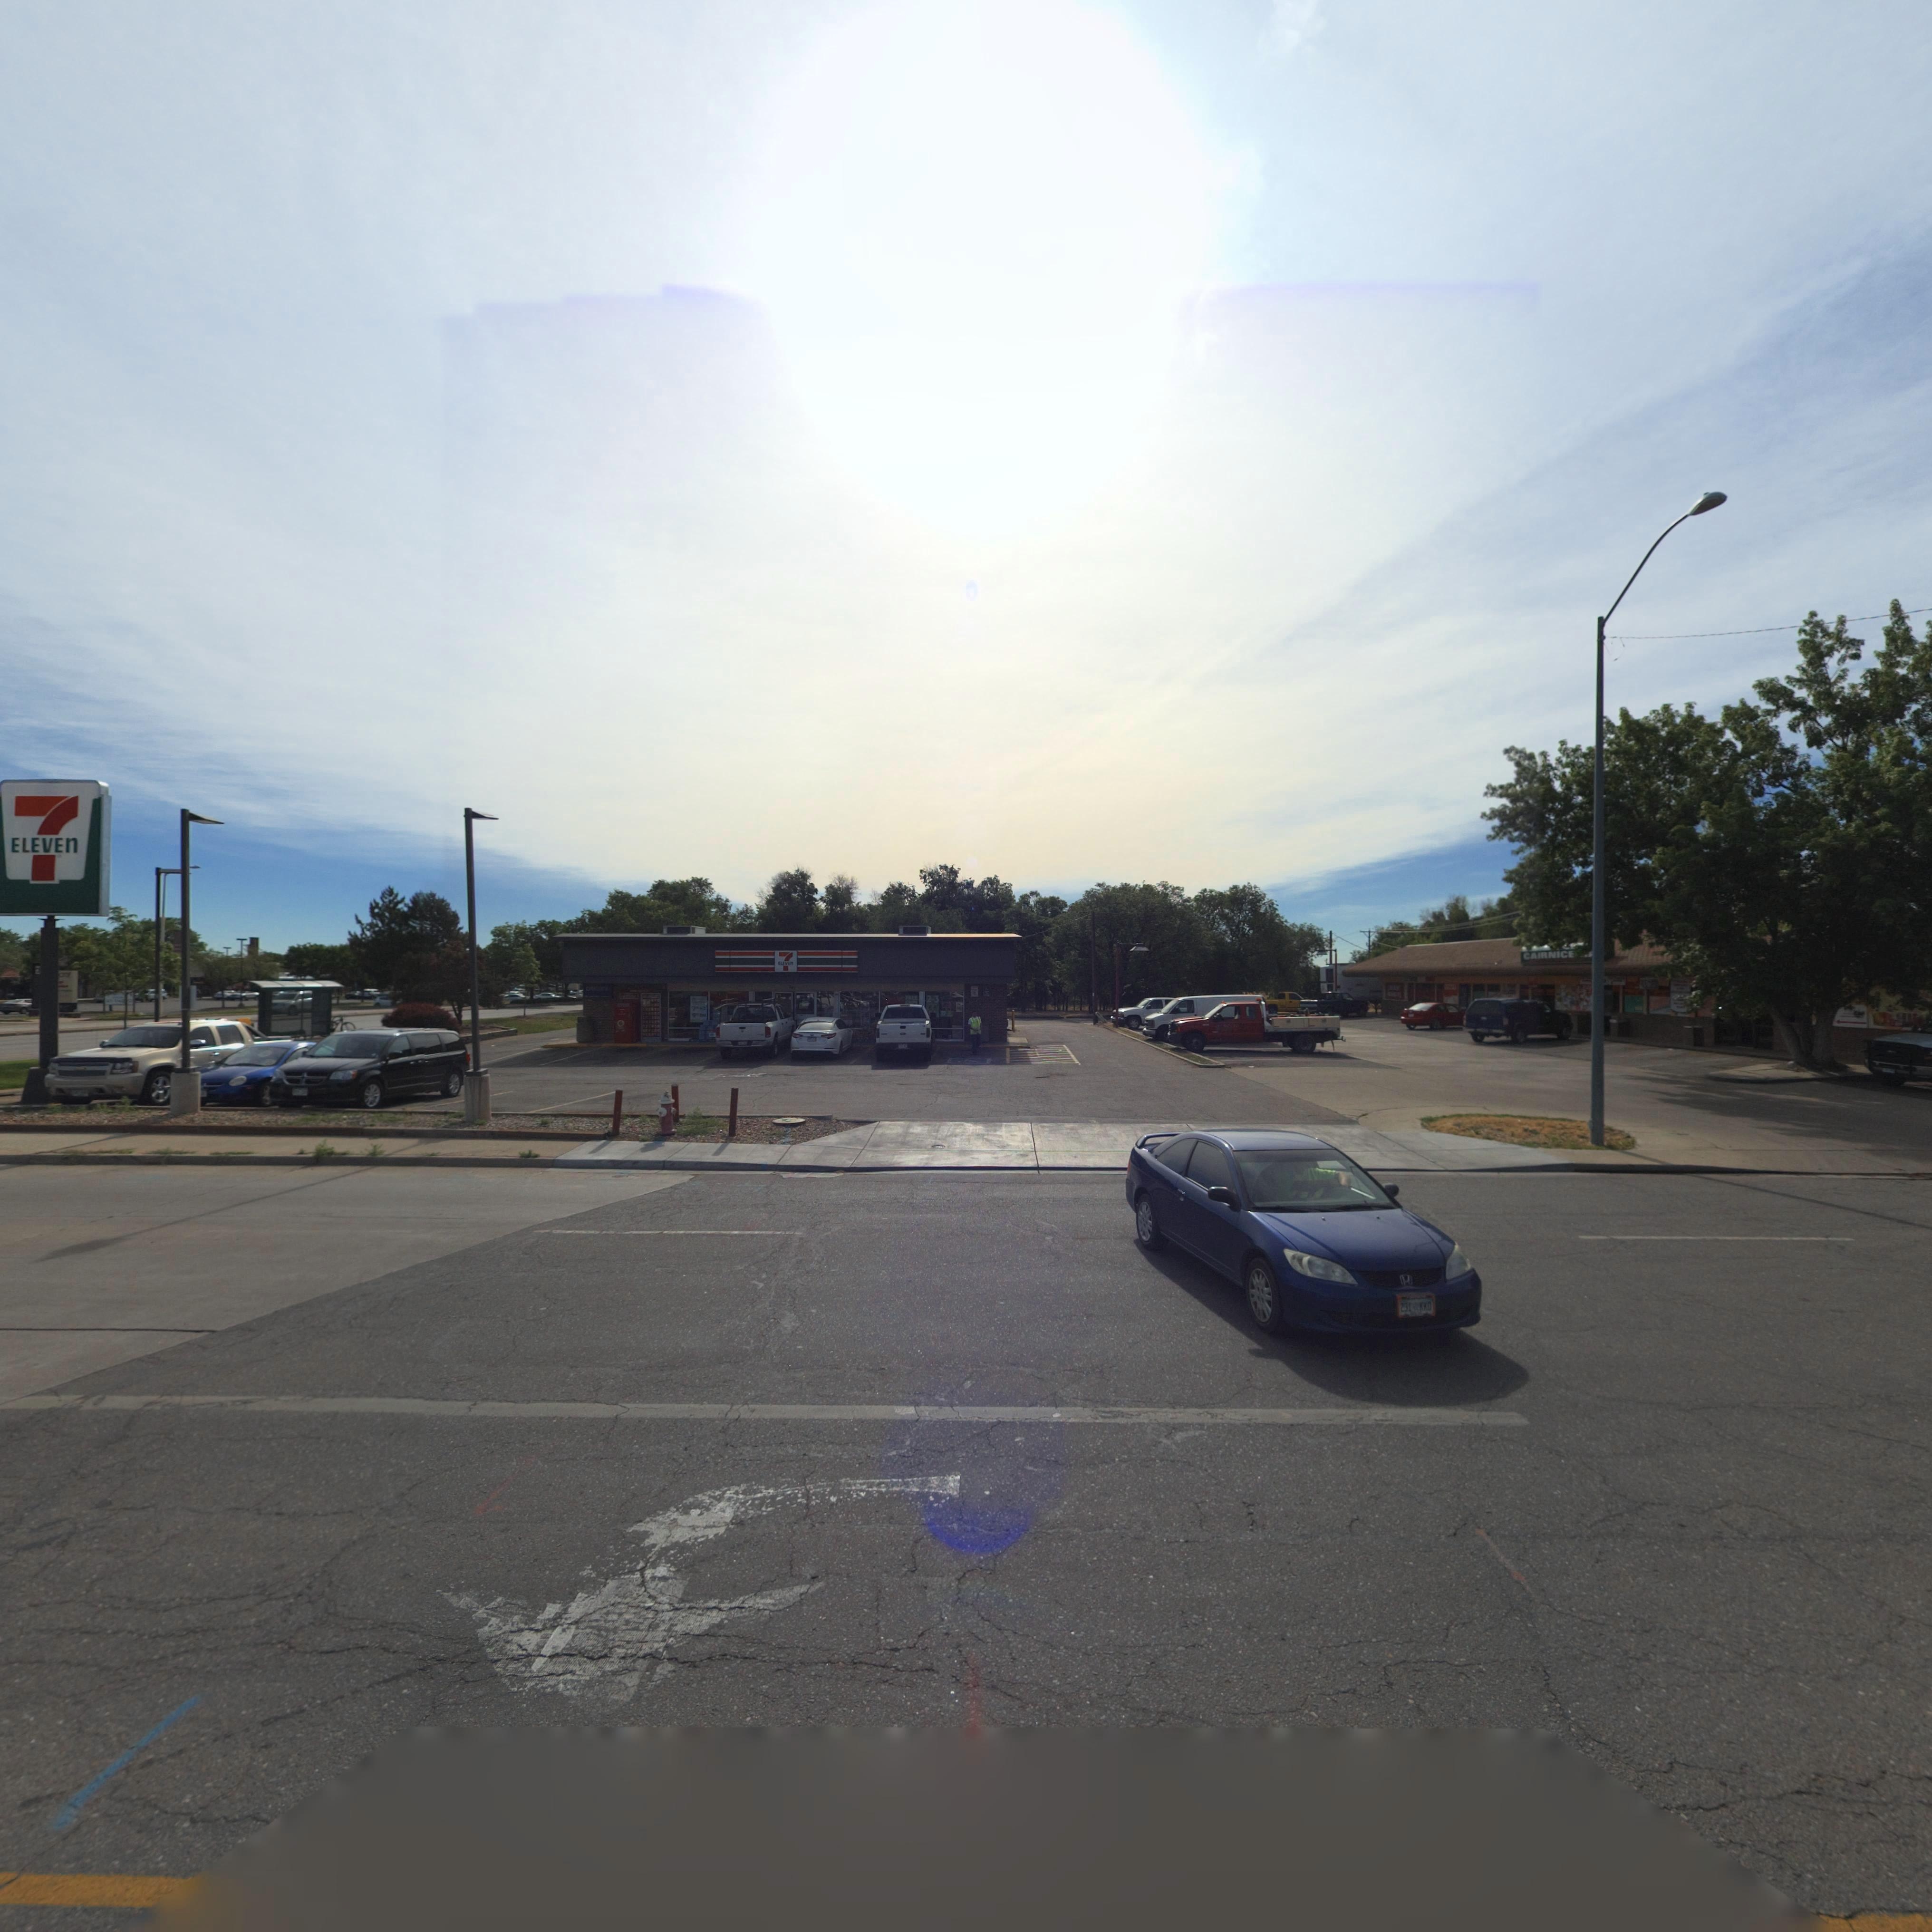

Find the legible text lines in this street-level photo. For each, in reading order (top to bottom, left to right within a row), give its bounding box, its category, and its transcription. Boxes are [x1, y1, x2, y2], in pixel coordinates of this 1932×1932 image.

[10, 836, 79, 855] BusinessName: ELEVEN
[13, 794, 79, 881] BusinessName: 7
[778, 951, 793, 971] BusinessName: 7
[778, 961, 793, 965] BusinessName: ELEVEN